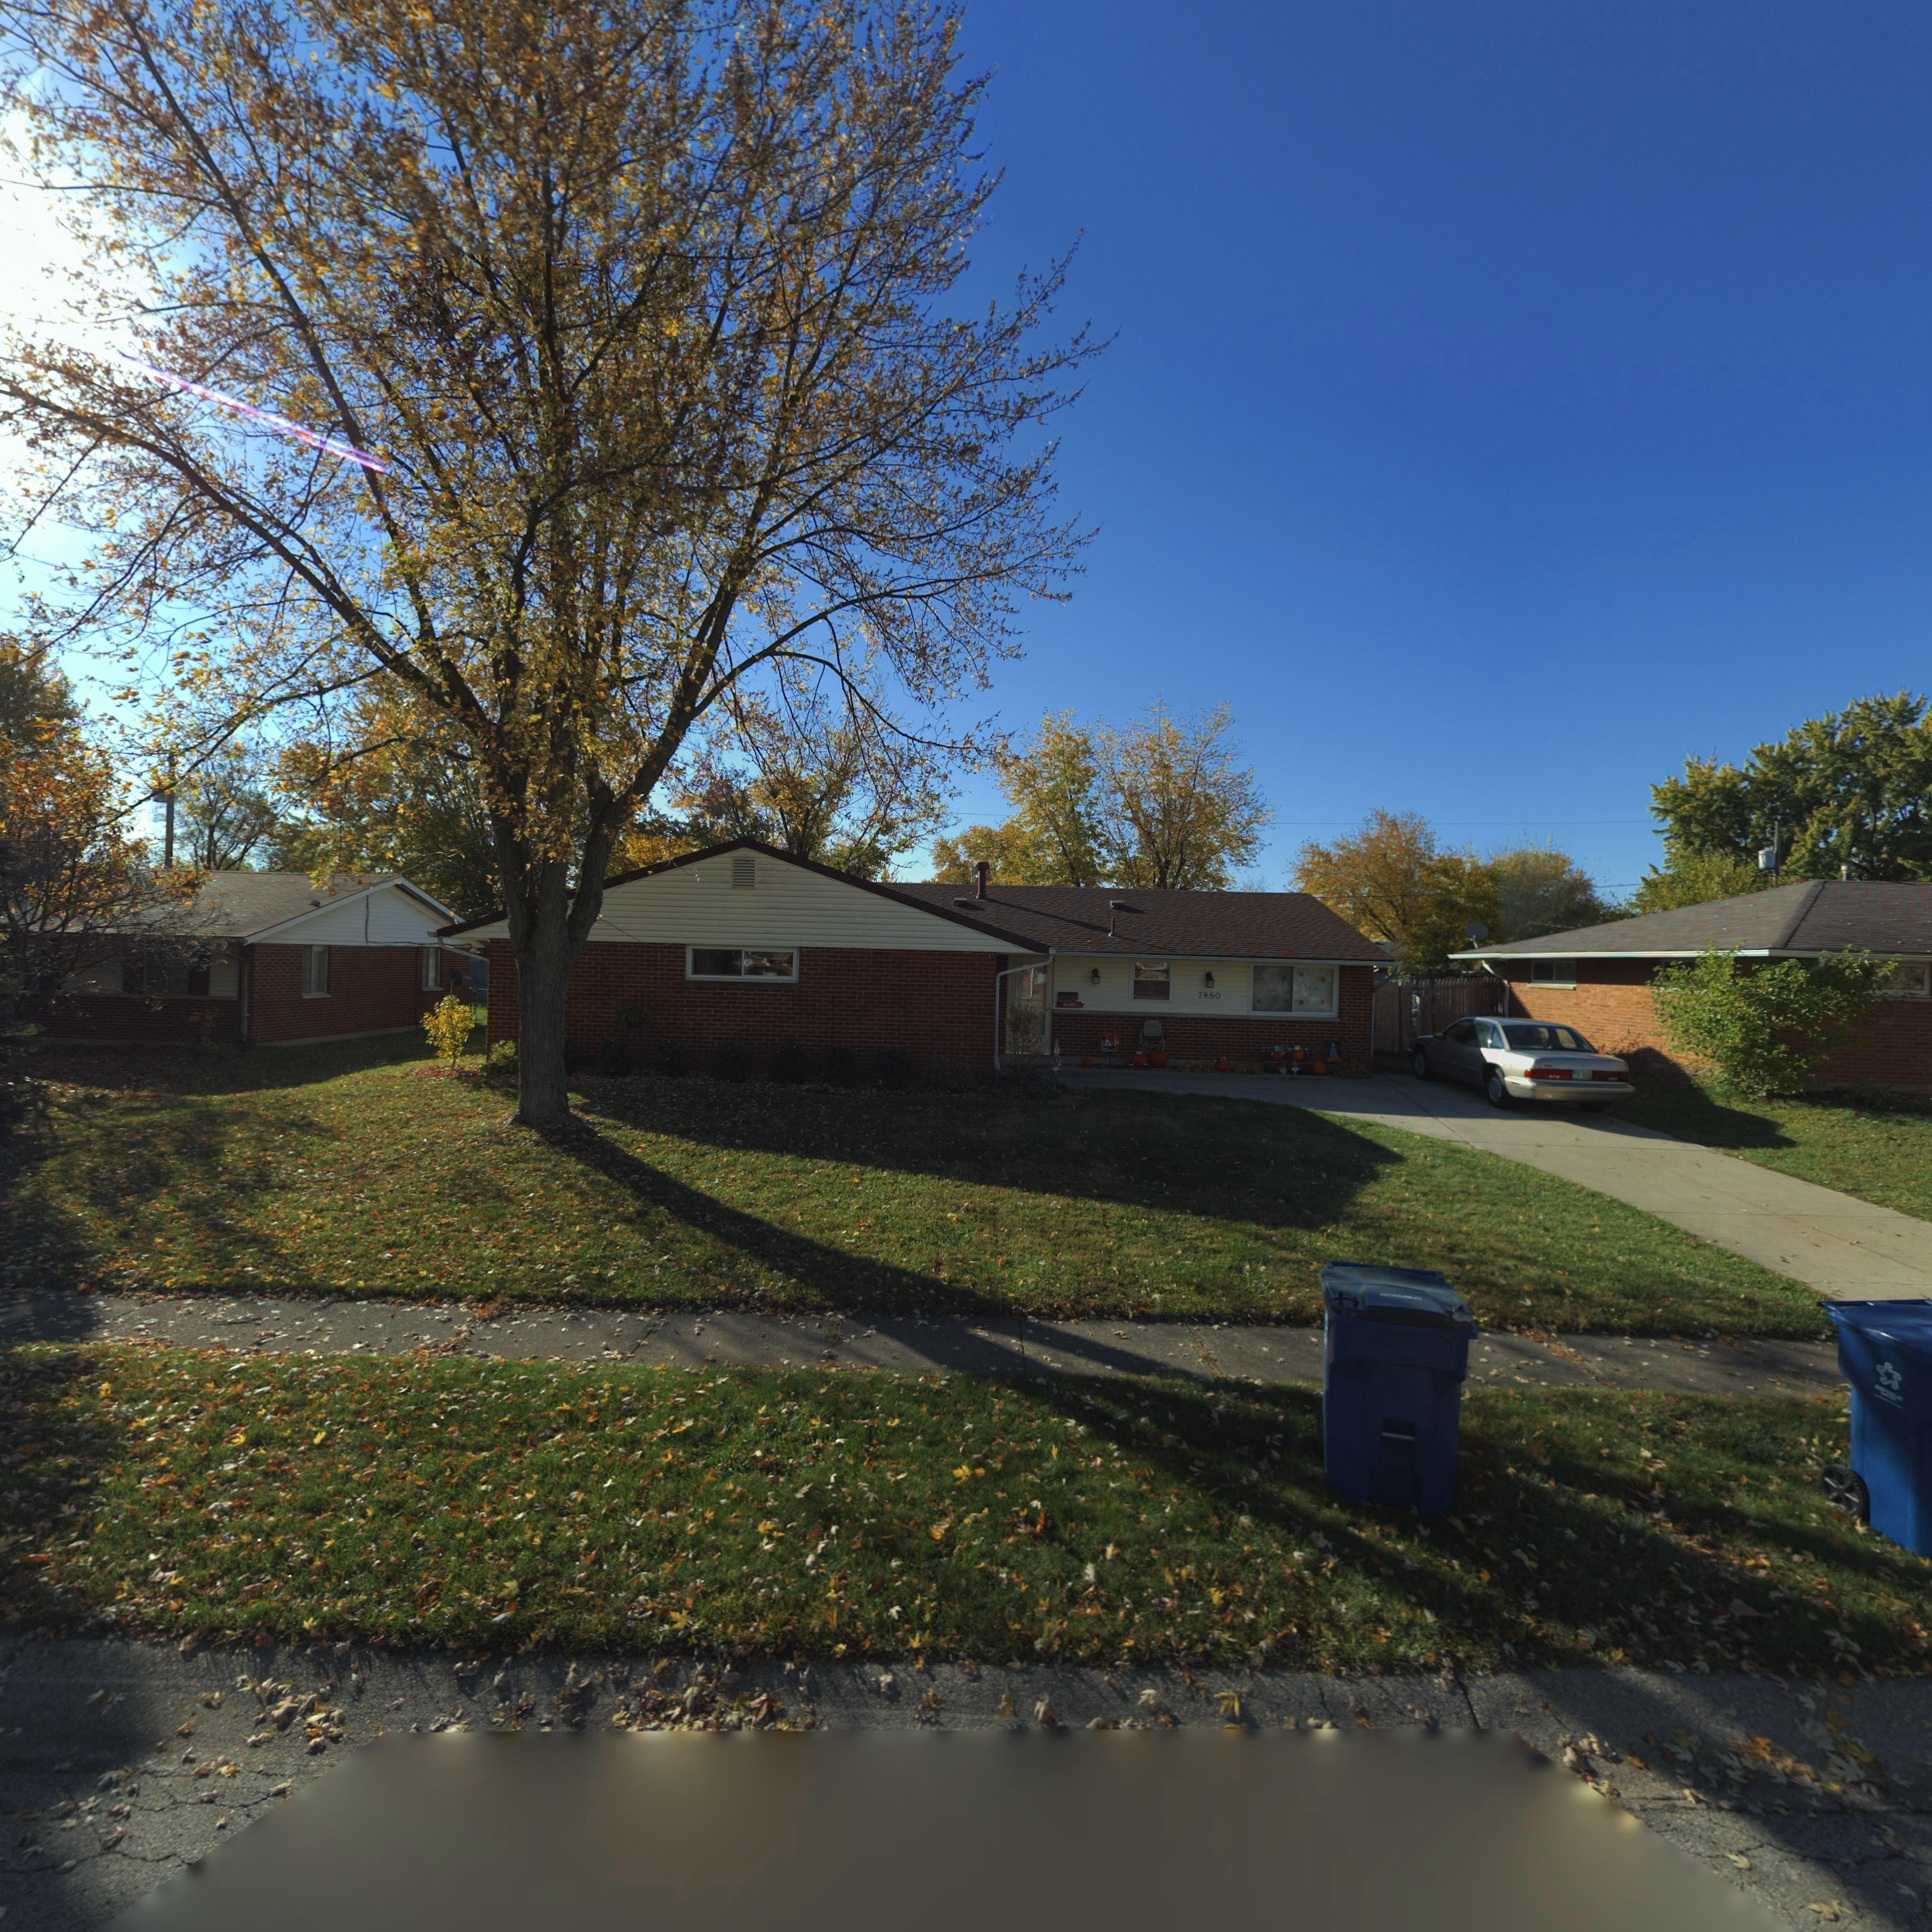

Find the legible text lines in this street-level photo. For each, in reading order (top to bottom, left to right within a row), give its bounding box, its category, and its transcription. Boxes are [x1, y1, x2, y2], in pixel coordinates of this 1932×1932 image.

[1198, 991, 1221, 1000] StreetNumber: 7850